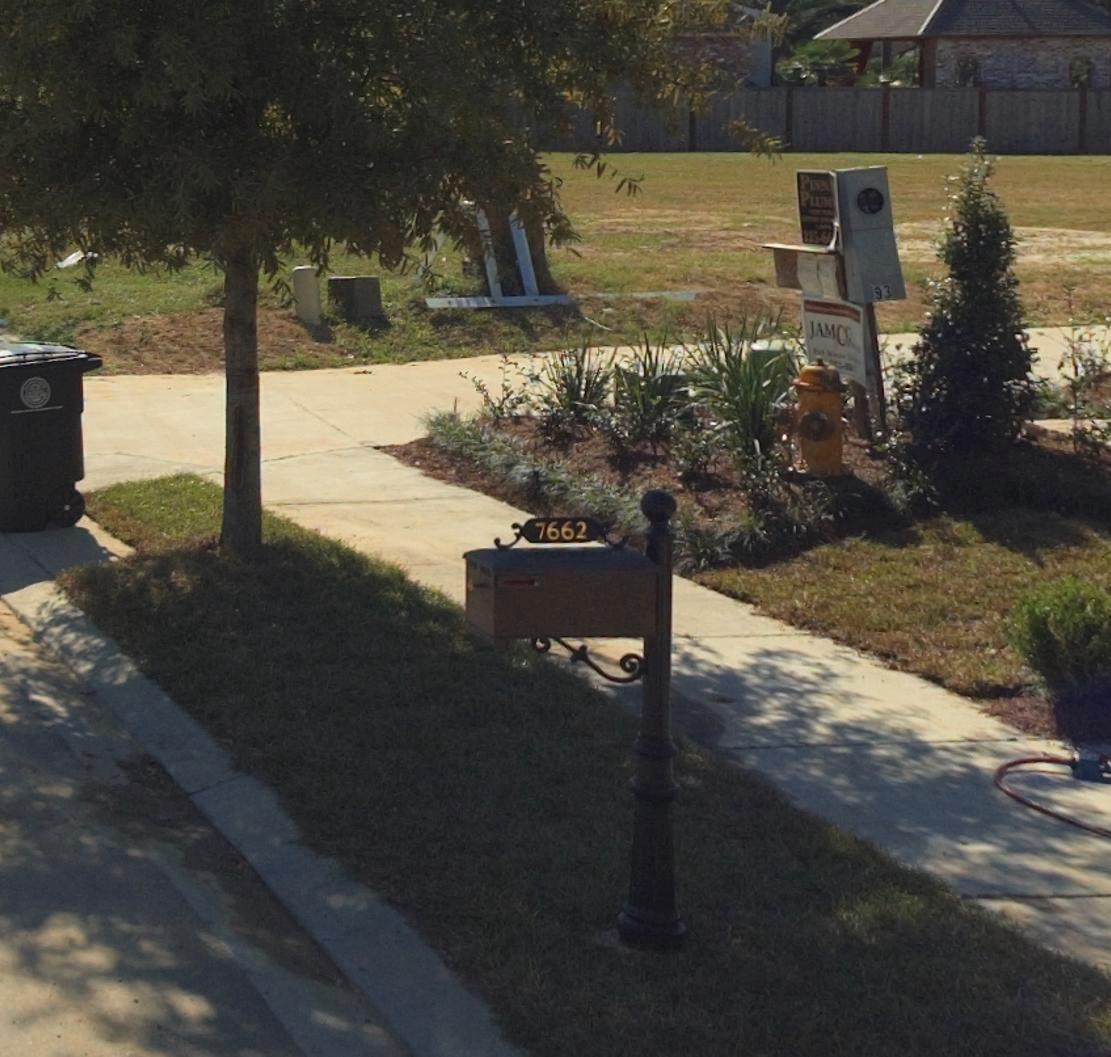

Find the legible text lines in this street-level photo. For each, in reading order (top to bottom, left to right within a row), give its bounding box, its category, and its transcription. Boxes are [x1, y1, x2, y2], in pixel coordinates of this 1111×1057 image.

[800, 174, 819, 192] None: PU
[800, 189, 832, 208] None: PLUM
[873, 284, 893, 300] None: 93
[808, 320, 836, 340] None: JAM
[533, 520, 588, 541] StreetNumber: 7662